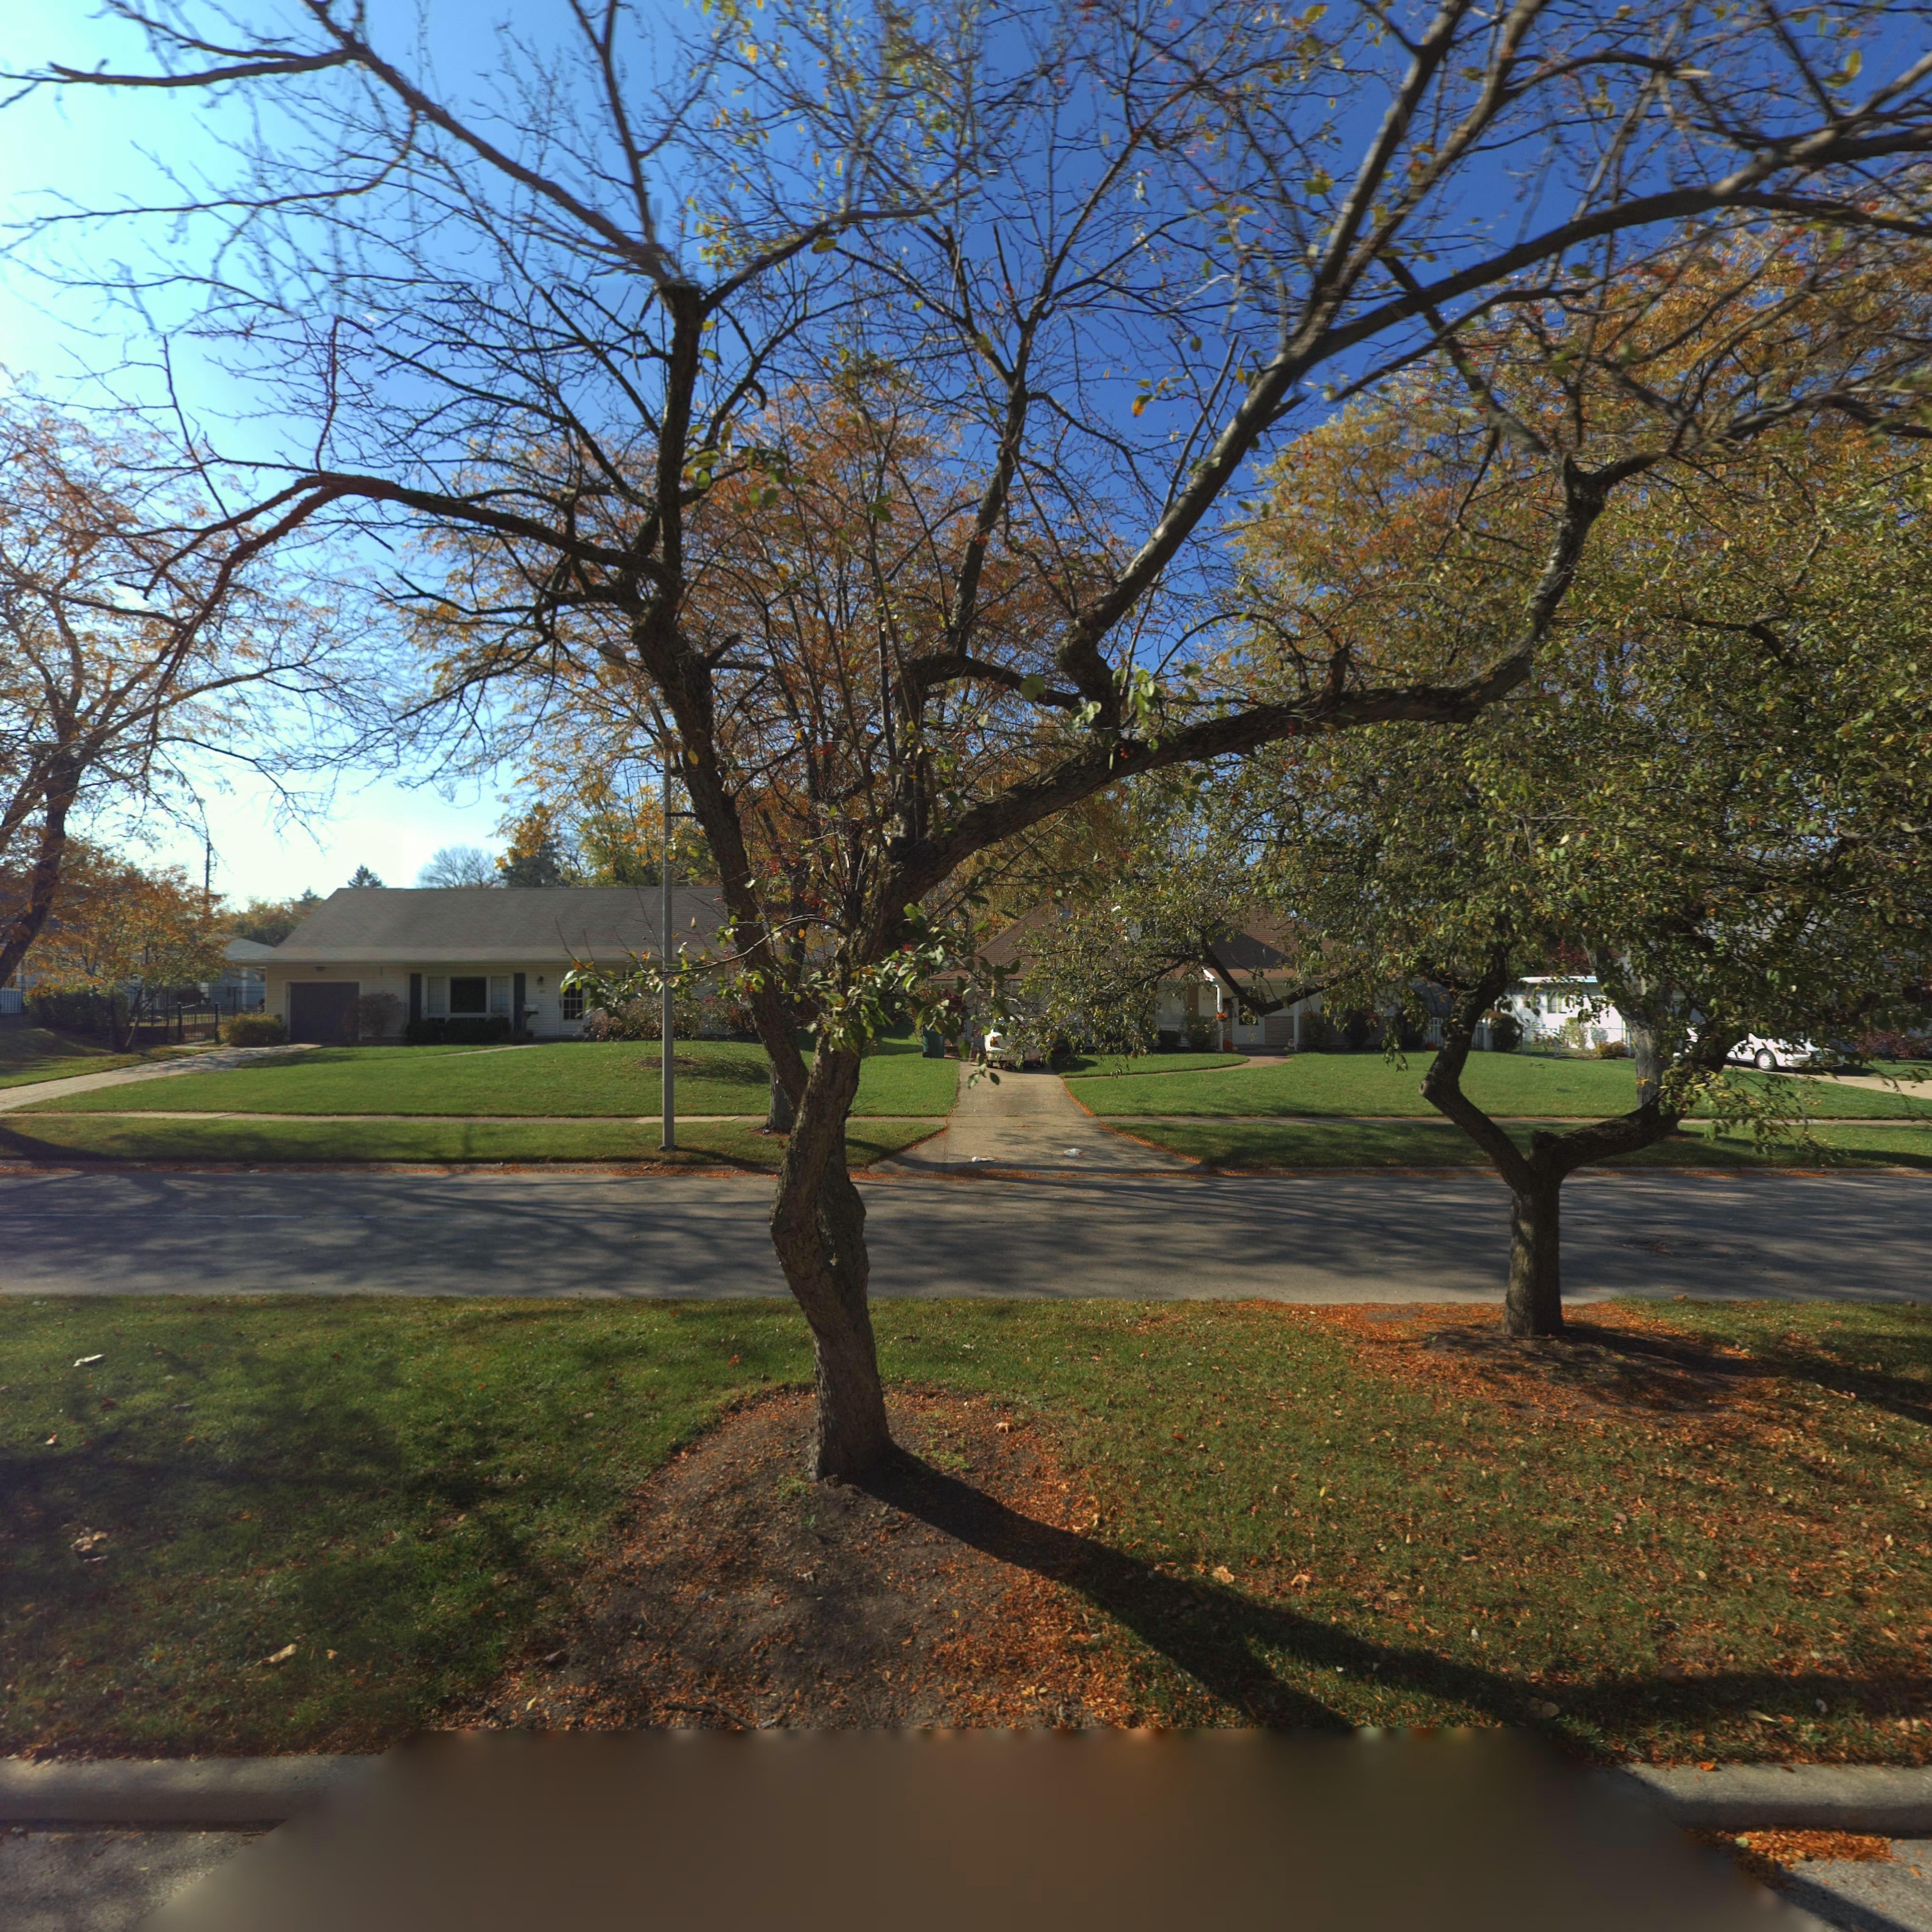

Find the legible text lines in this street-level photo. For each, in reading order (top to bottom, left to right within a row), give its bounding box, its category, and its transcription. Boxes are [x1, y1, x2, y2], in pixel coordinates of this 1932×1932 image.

[1201, 995, 1213, 1001] StreetNumber: 373